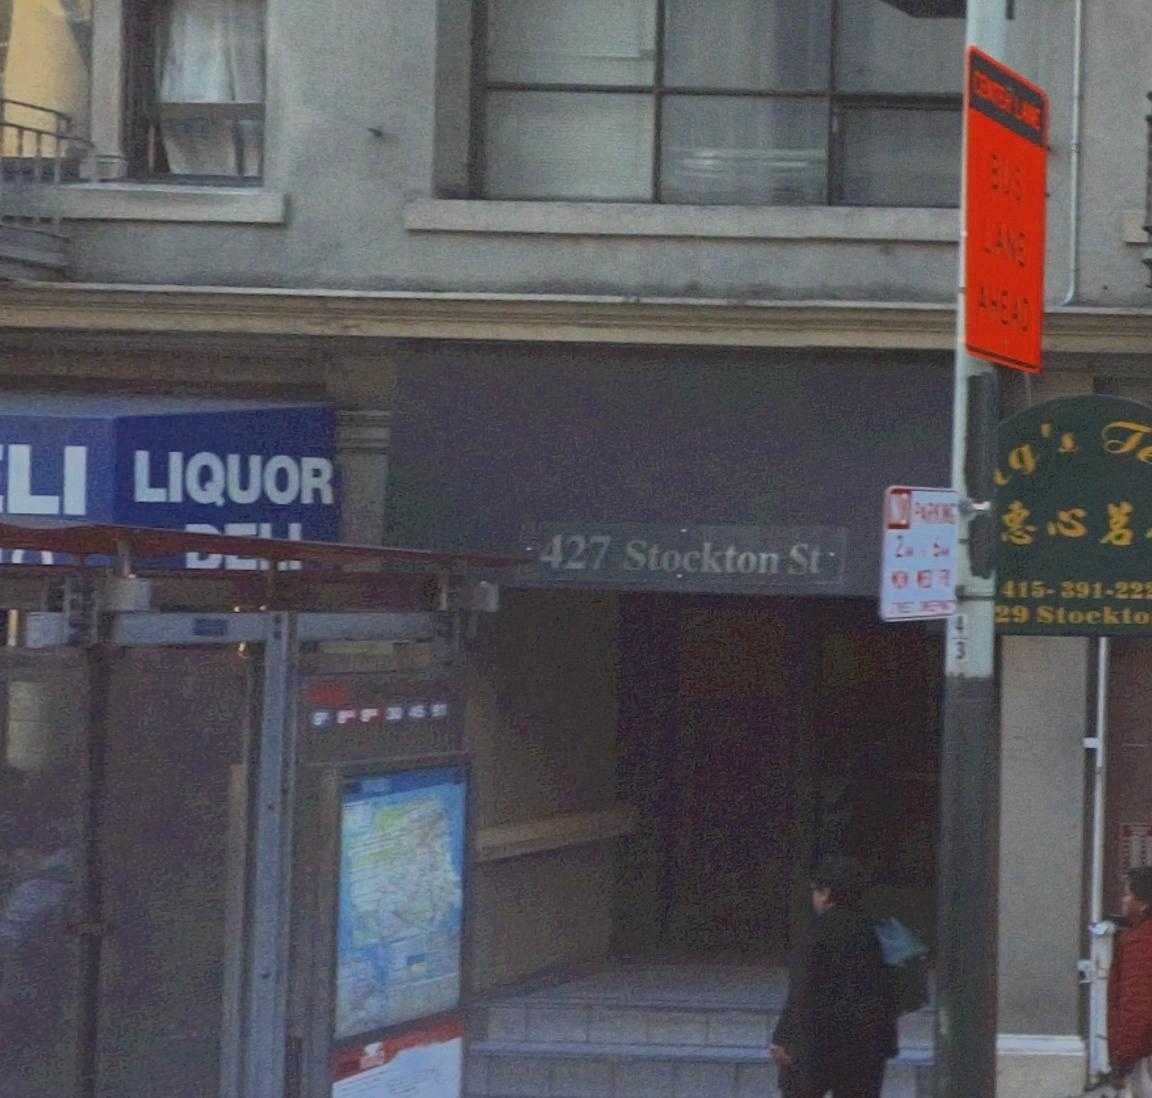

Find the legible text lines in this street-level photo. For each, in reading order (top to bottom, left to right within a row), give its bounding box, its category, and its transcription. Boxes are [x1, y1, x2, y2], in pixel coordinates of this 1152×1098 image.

[969, 63, 1043, 134] None: CENTER LANE
[988, 149, 1024, 205] None: BUS
[983, 215, 1026, 269] None: LANE
[972, 278, 1032, 334] None: AHEAD
[1002, 419, 1079, 481] None: g's
[6, 441, 89, 519] None: LI
[132, 446, 337, 507] None: LIQUOR
[887, 490, 958, 529] None: NO PARKING
[536, 531, 615, 574] StreetNumber: 427
[617, 534, 826, 578] StreetName: Stockton St
[894, 533, 907, 559] None: 2
[931, 536, 943, 558] None: 6
[950, 610, 971, 662] None: 43
[992, 602, 1030, 625] None: 29
[999, 577, 1145, 602] None: 415-391-22
[1035, 603, 1150, 627] None: Stockto